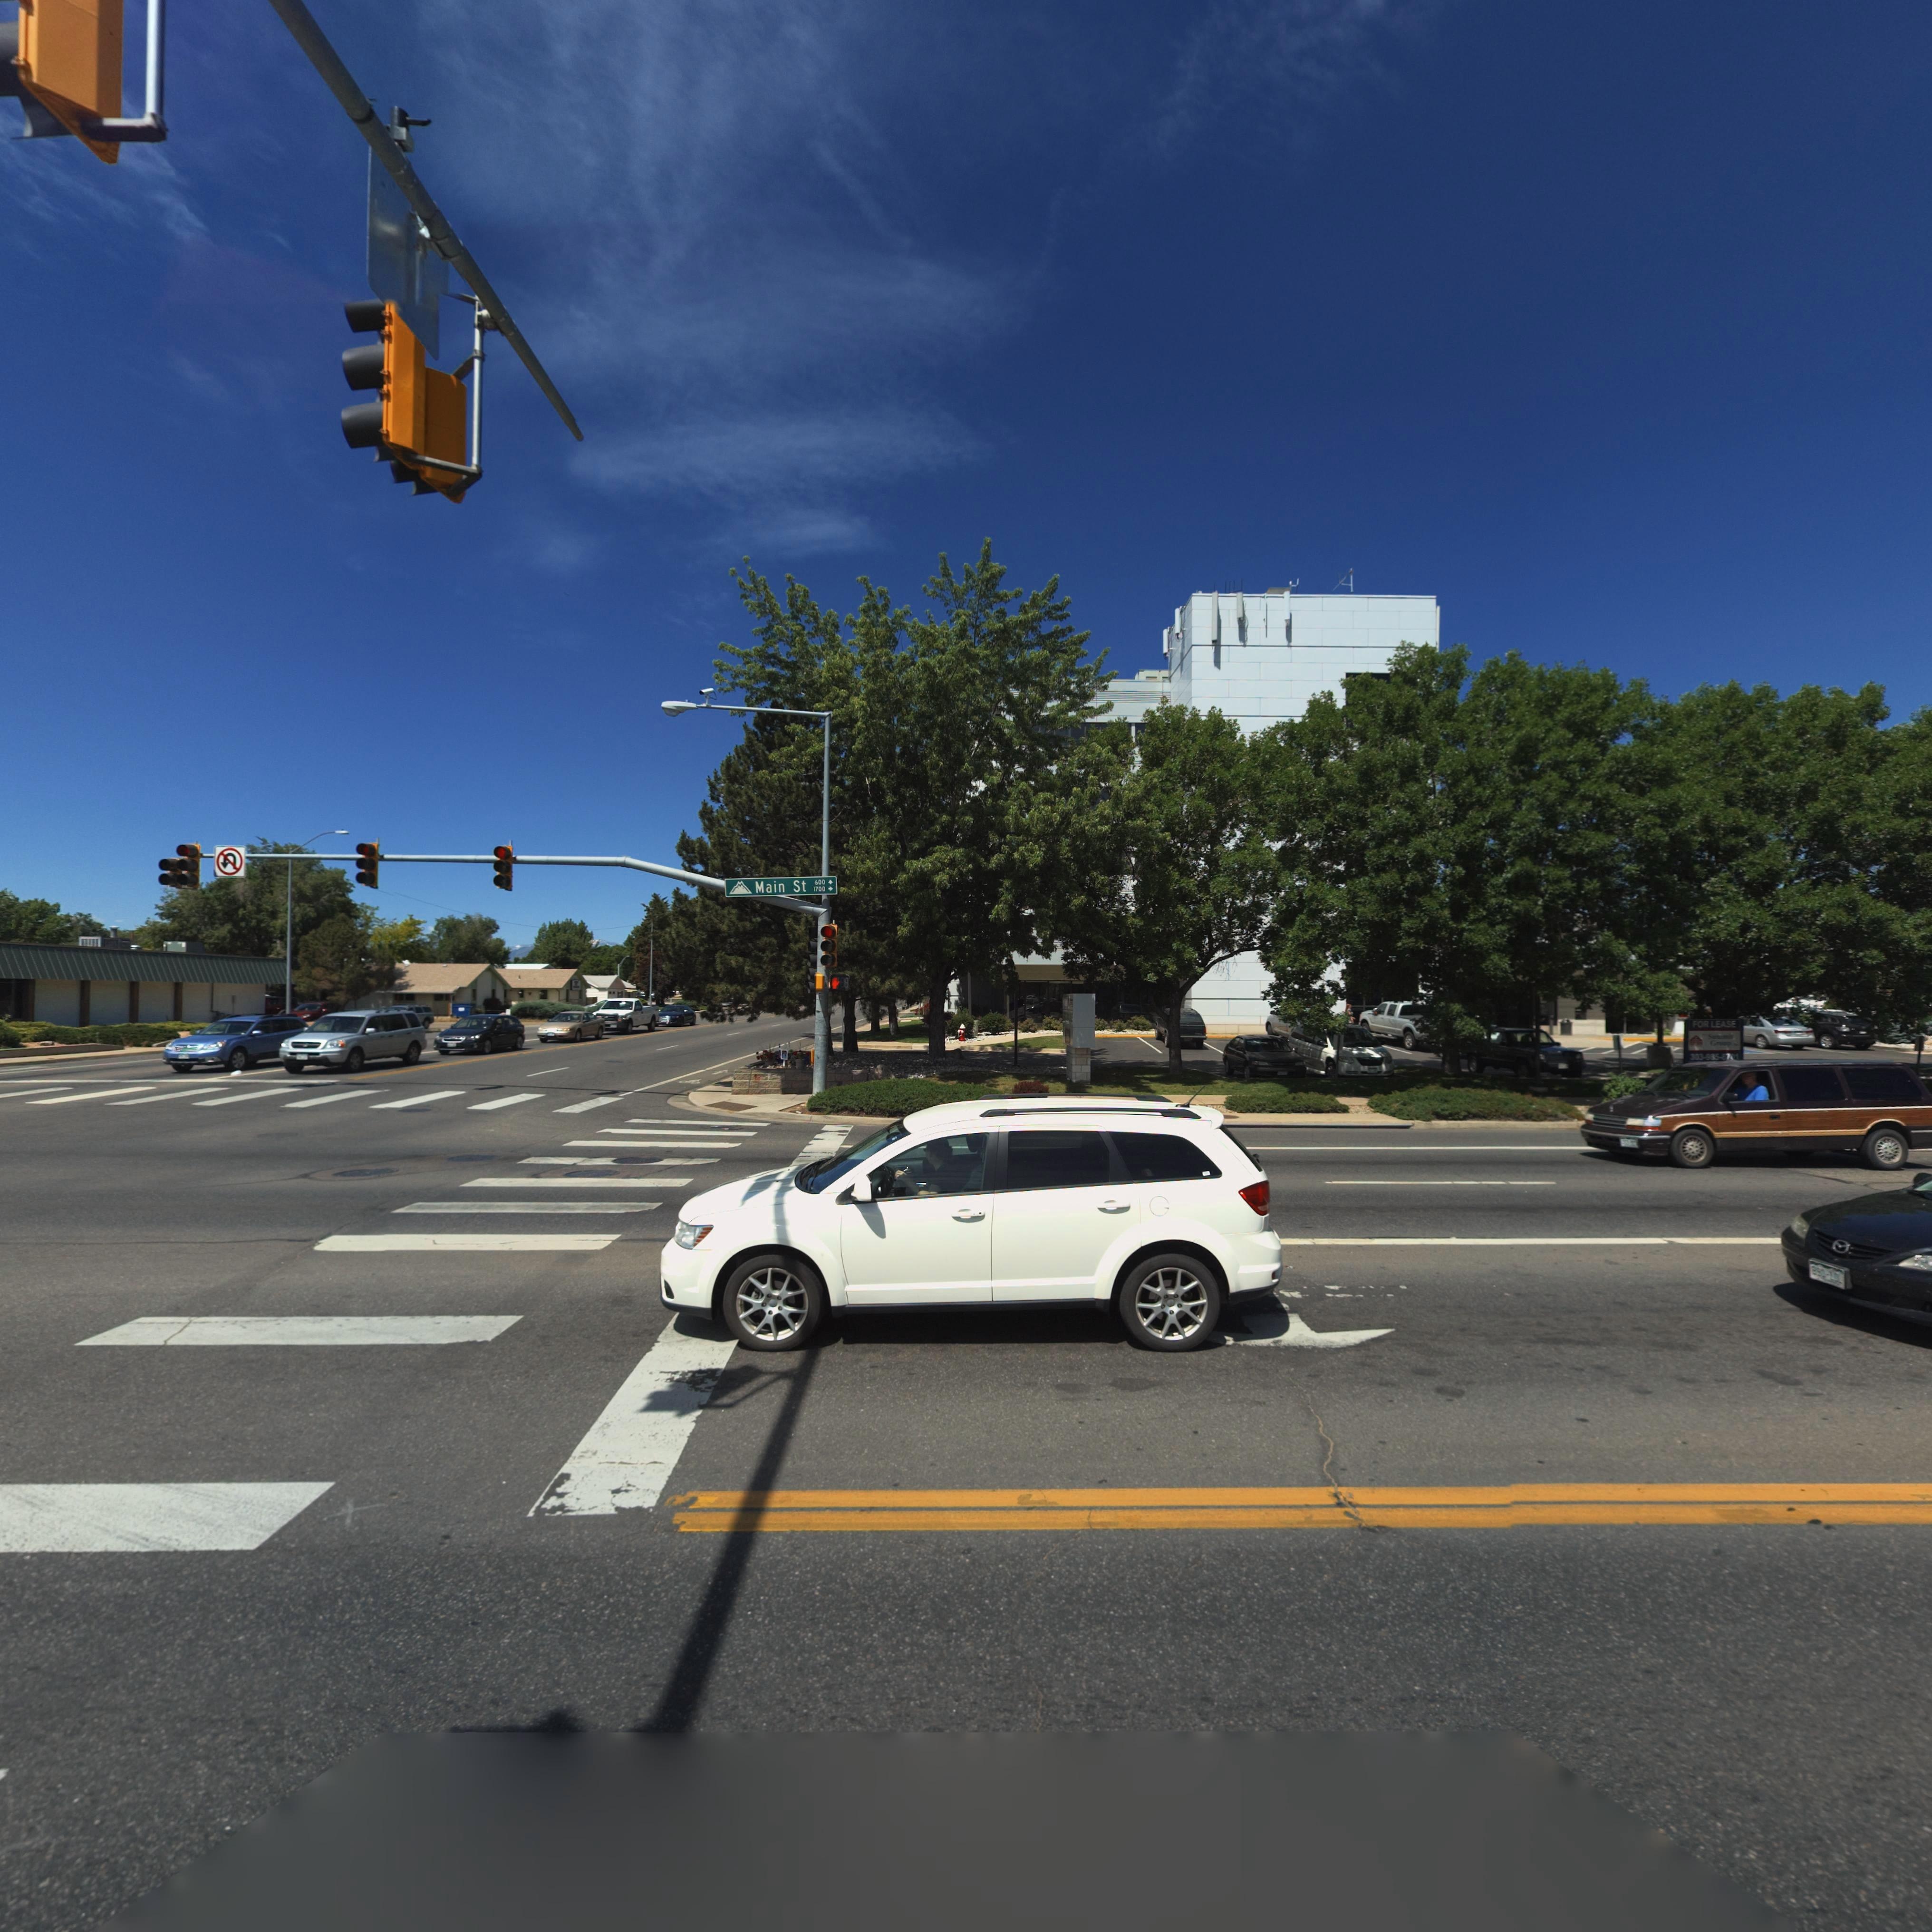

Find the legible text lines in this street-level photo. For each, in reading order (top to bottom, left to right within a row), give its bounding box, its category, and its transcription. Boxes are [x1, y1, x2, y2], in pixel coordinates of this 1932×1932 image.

[814, 879, 825, 885] StreetNumberRange: 600
[754, 879, 807, 893] StreetName: Main St
[813, 886, 834, 892] StreetNumberRange: 1700->